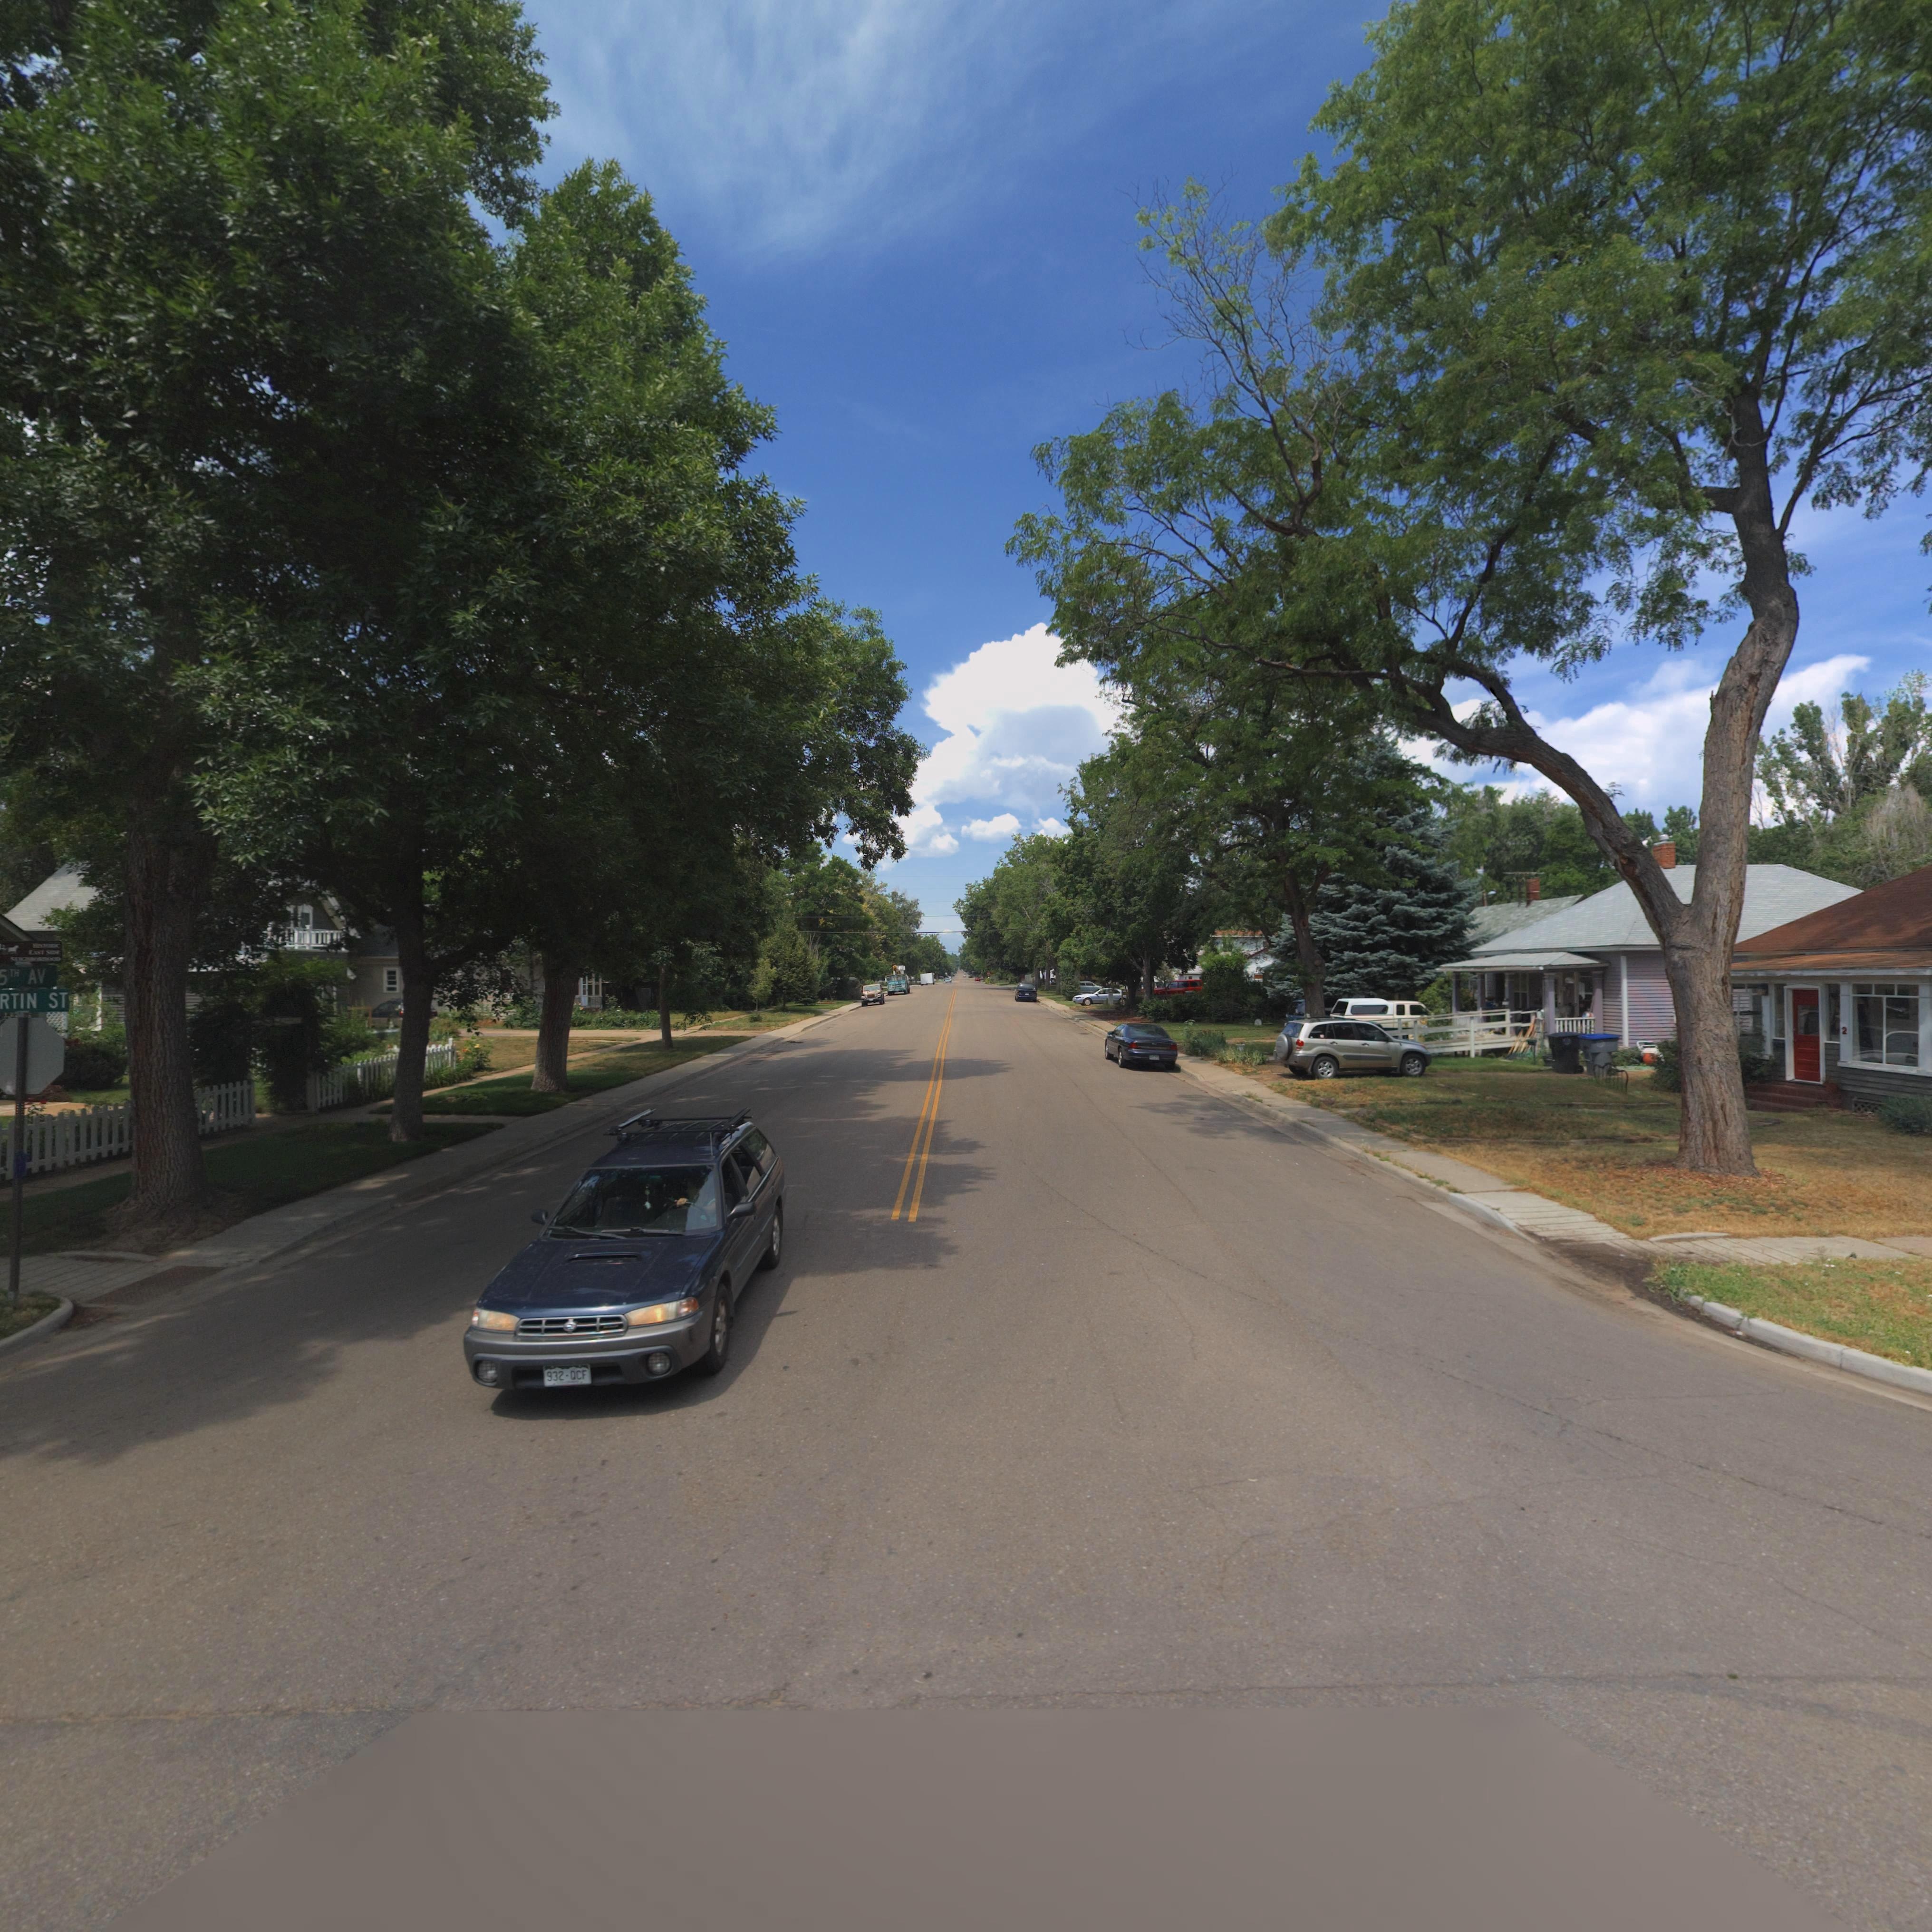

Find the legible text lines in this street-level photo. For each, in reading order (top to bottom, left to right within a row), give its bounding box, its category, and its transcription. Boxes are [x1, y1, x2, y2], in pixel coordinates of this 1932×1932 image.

[9, 967, 47, 984] StreetName: TH AV
[10, 992, 68, 1009] StreetName: TIN ST
[1841, 1026, 1847, 1034] StreetNumber: 2